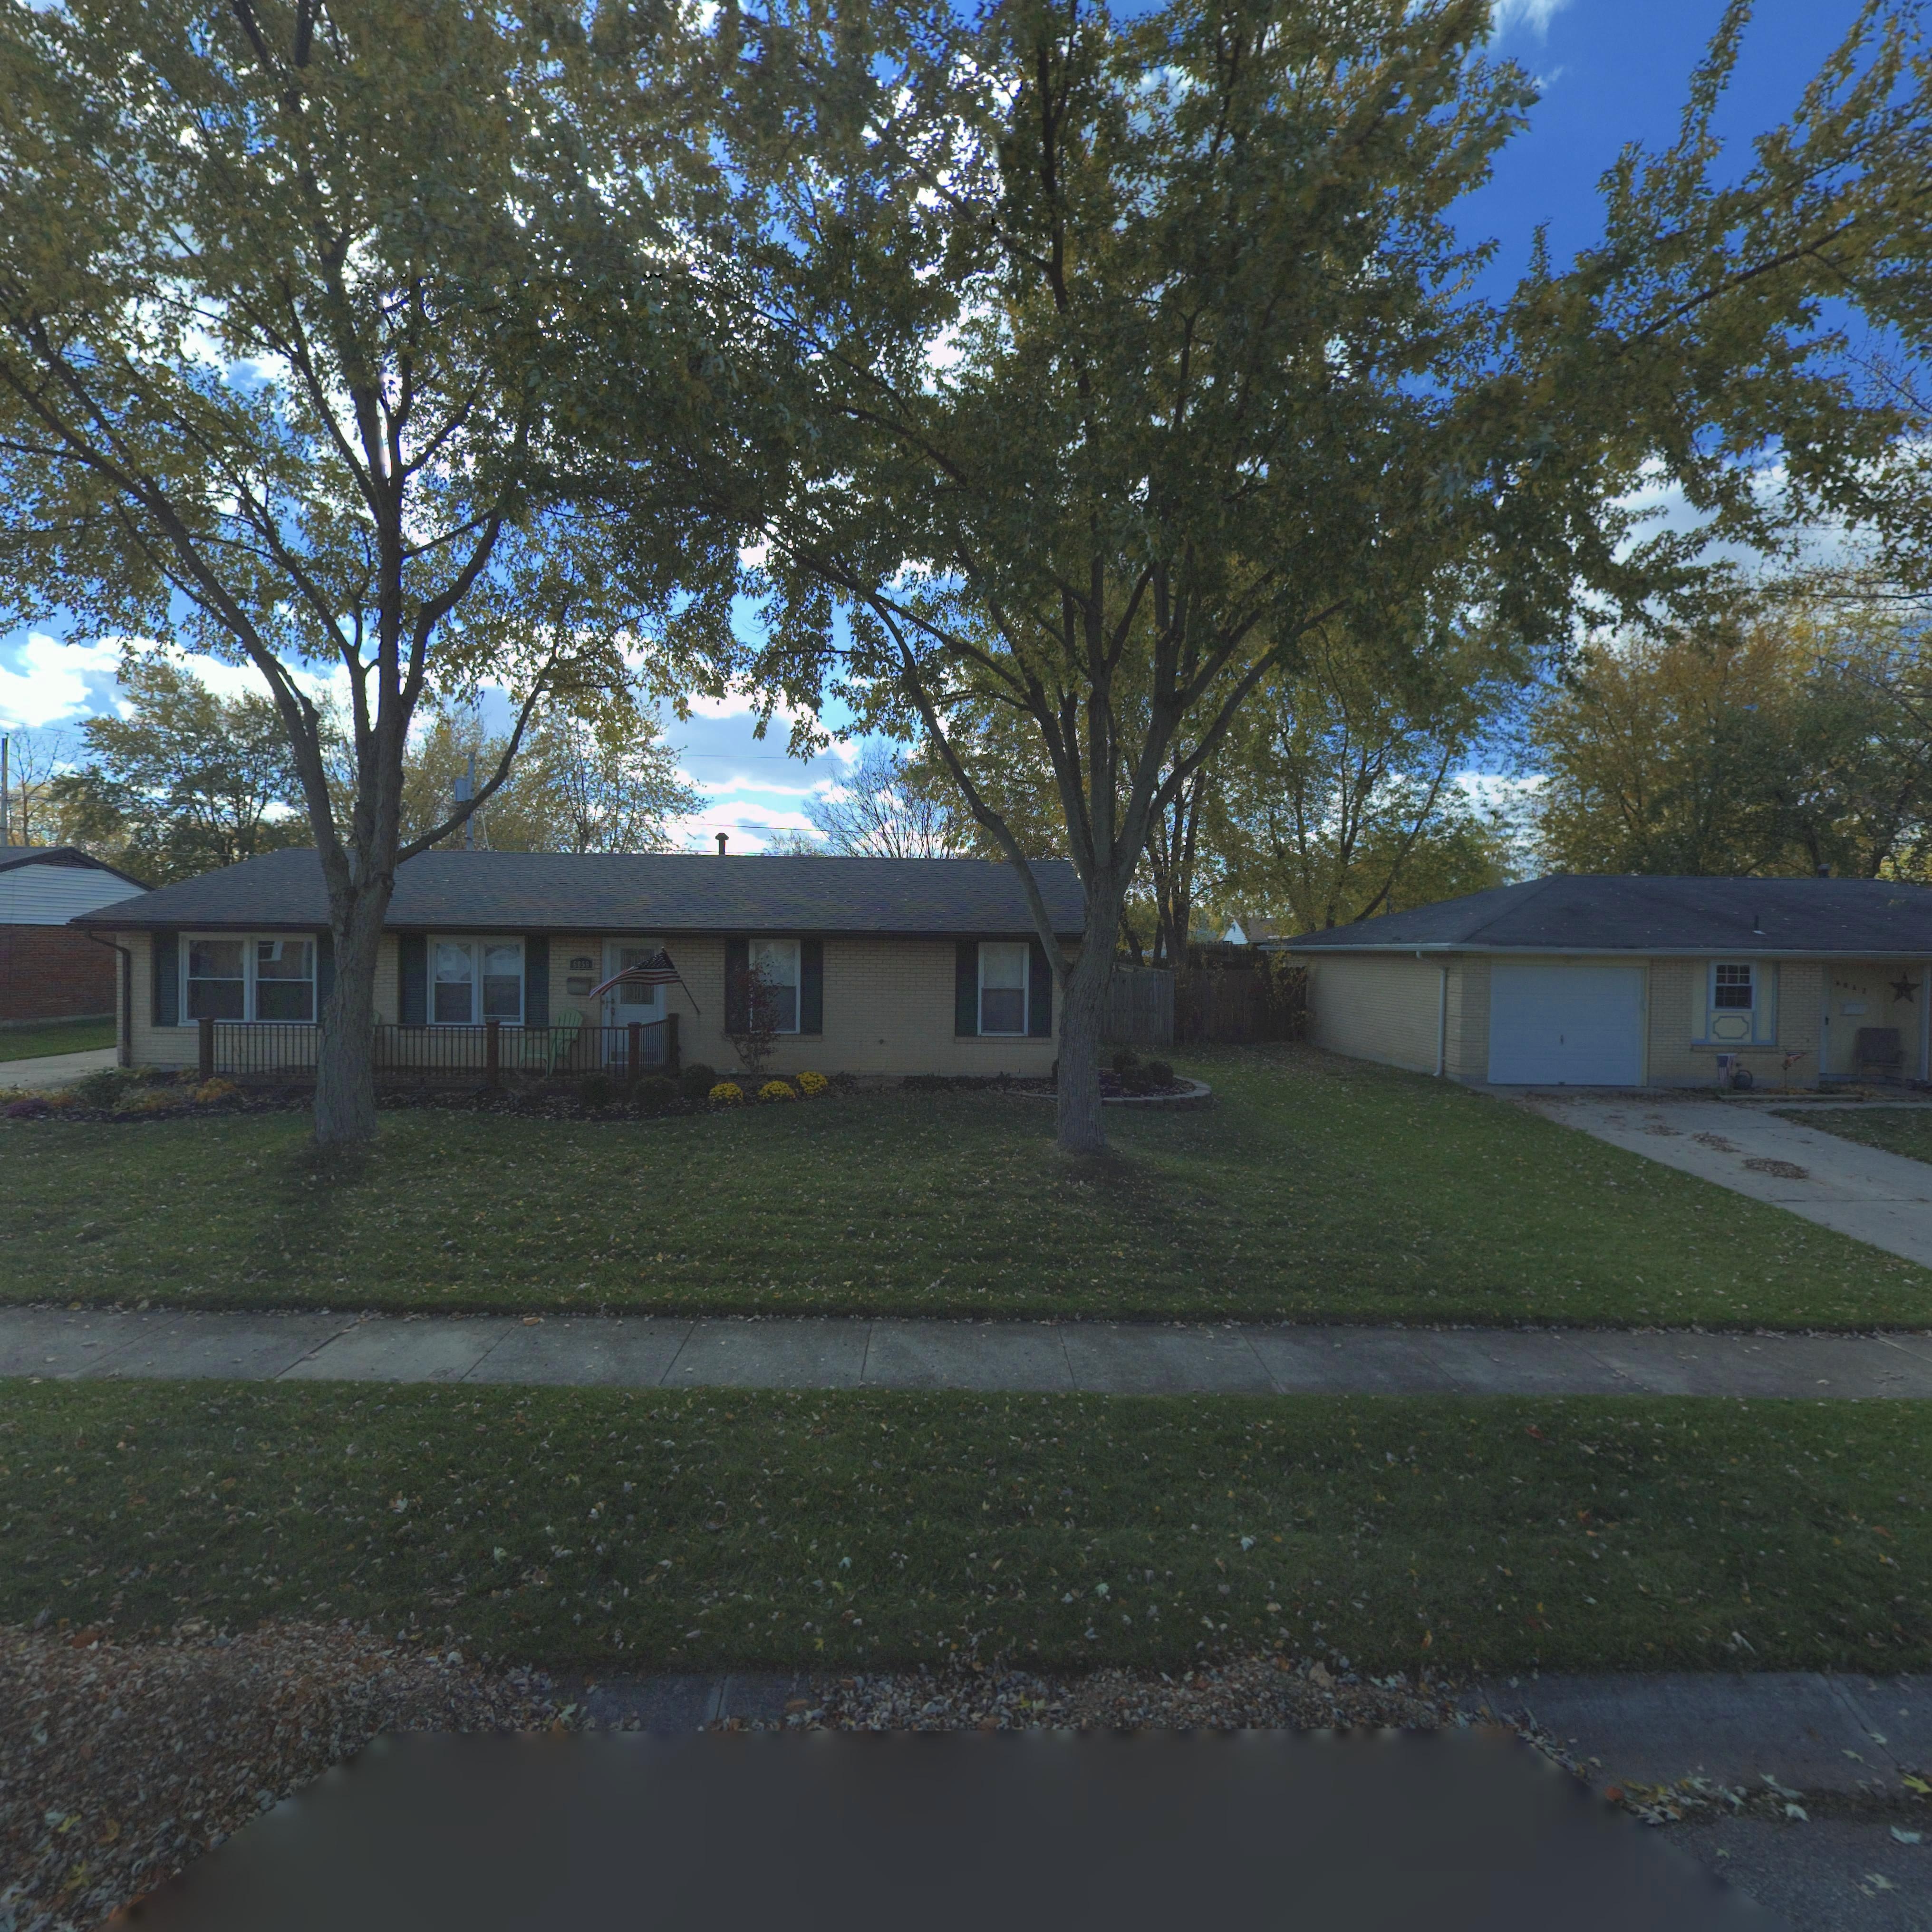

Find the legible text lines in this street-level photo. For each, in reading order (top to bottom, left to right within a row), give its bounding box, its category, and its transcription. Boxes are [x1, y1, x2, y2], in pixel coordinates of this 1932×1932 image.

[572, 960, 589, 968] StreetNumber: 6856
[1835, 979, 1867, 995] StreetNumber: 684*